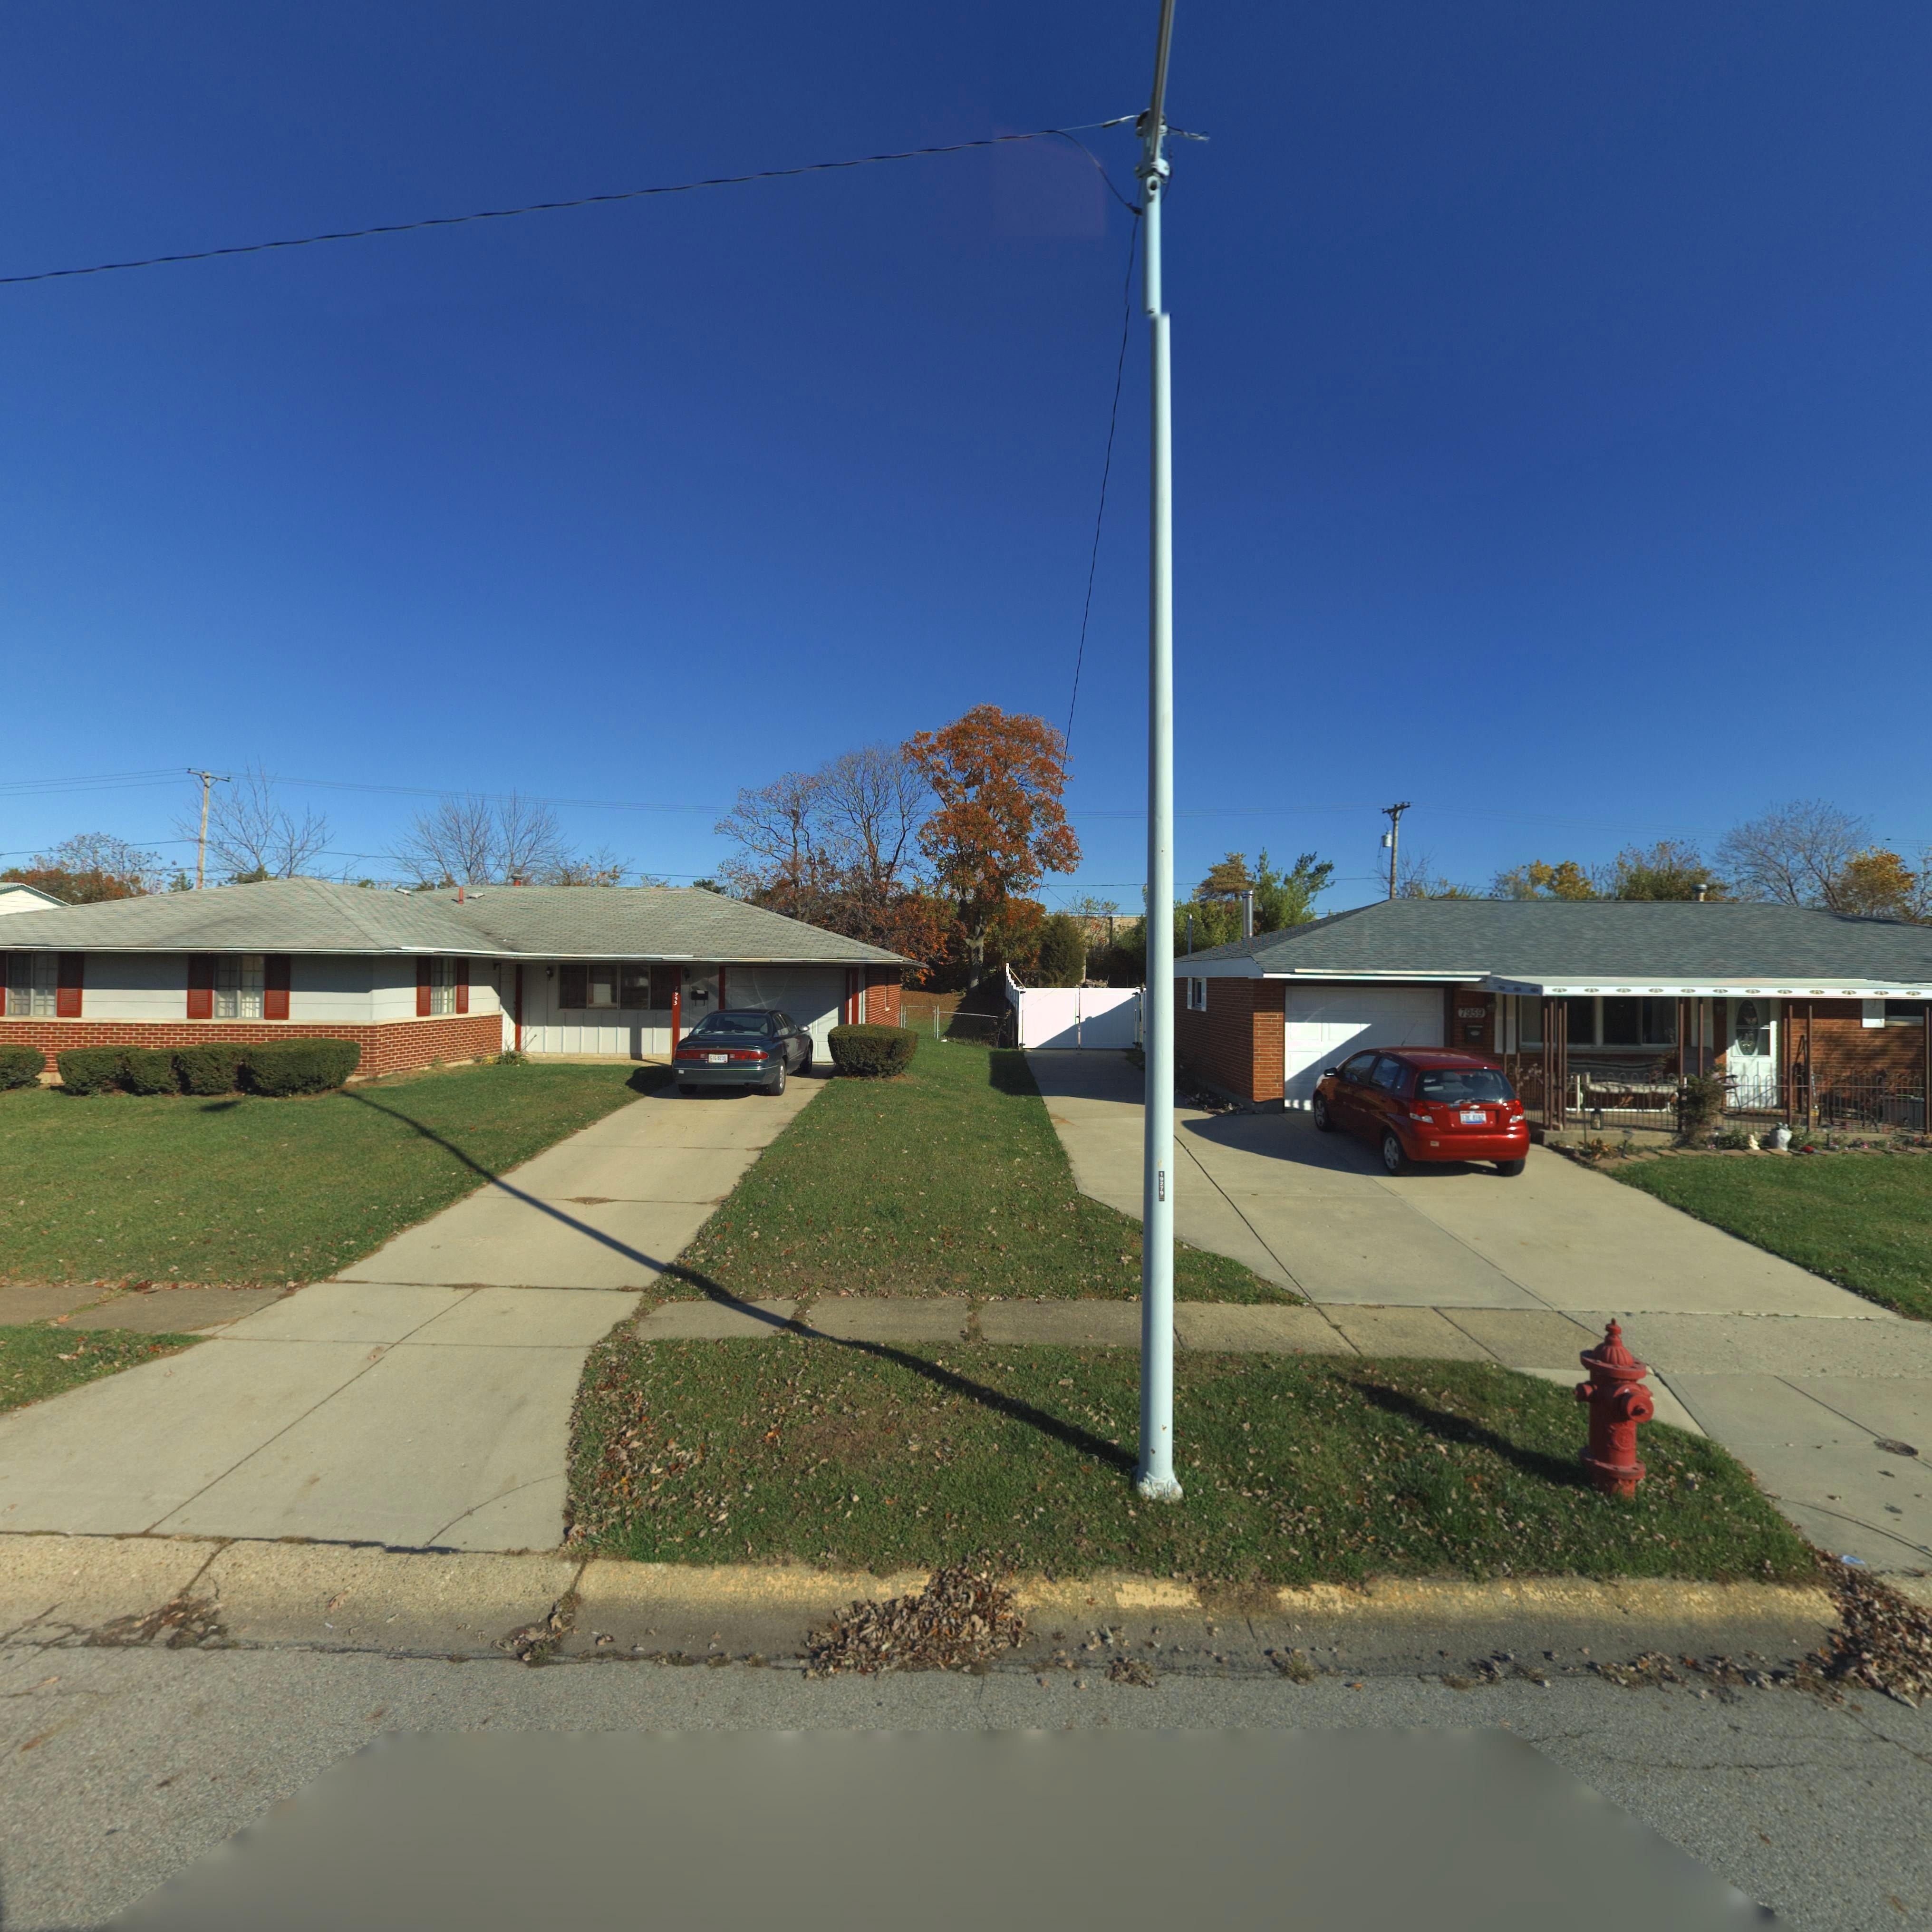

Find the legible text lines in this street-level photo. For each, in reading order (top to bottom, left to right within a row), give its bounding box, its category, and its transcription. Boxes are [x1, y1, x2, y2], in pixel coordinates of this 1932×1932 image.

[673, 985, 679, 1006] StreetNumber: 7953
[1460, 1008, 1485, 1018] StreetNumber: 7959